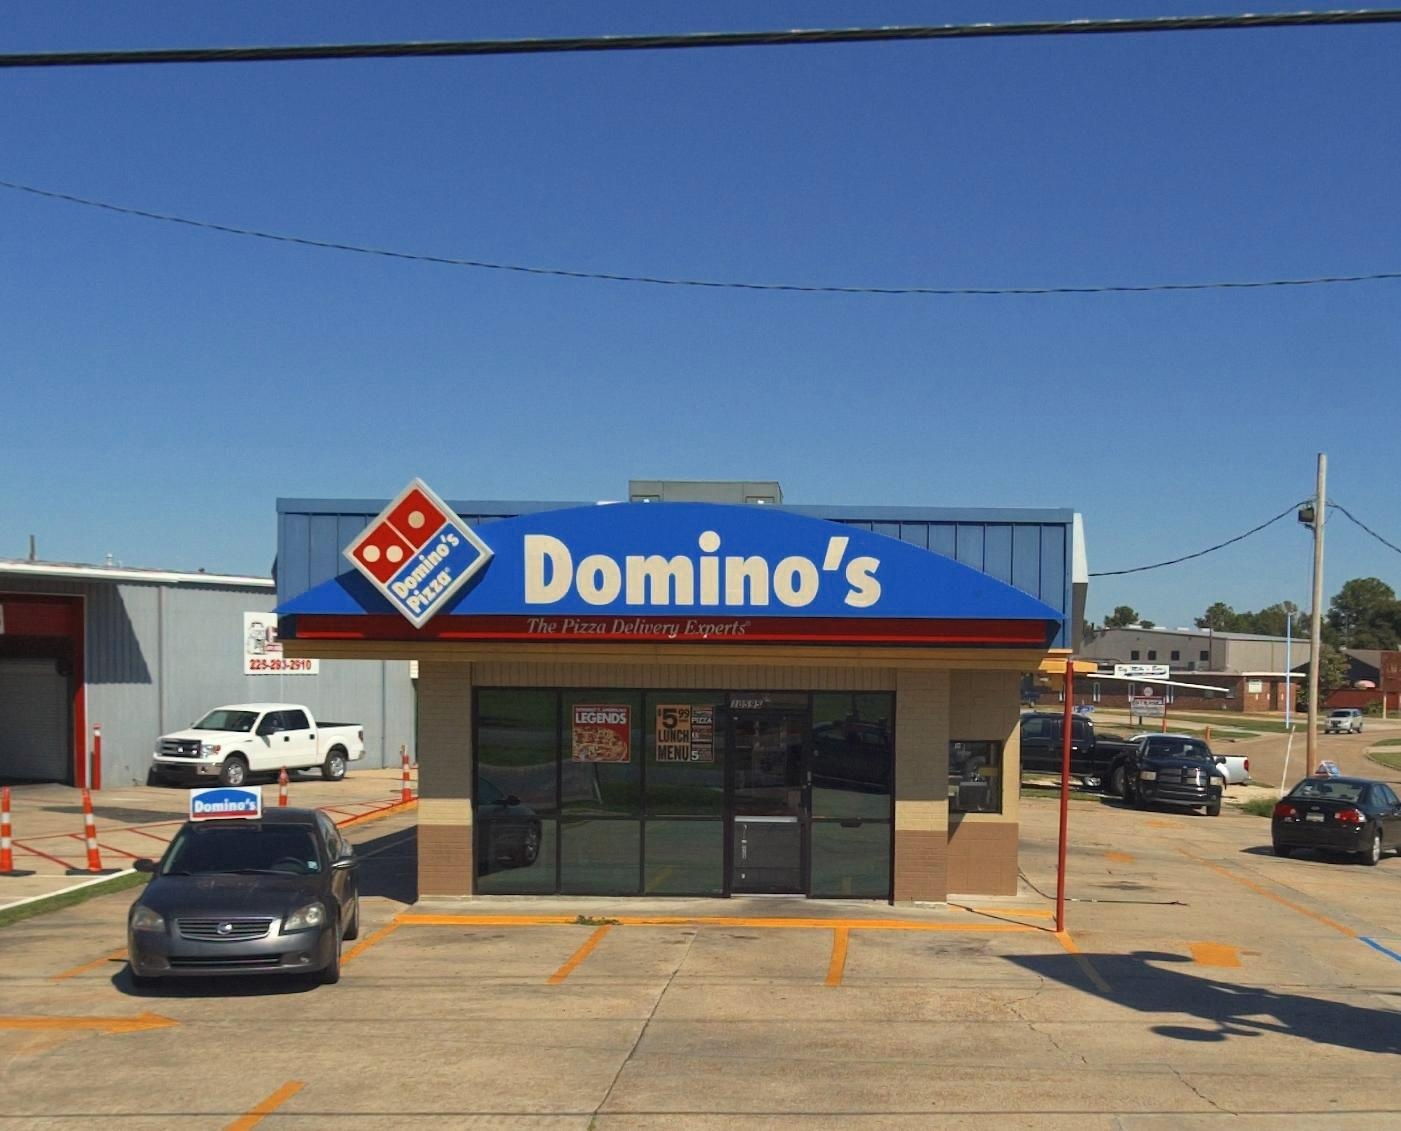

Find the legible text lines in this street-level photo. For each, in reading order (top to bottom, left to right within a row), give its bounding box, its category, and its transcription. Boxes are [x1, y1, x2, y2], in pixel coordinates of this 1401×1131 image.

[386, 529, 462, 603] BusinessName: Domino'S
[521, 526, 885, 611] BusinessName: Domino's 
[403, 566, 455, 616] BusinessName: Pizza
[523, 614, 750, 643] None: The Pizza Delivery Experts
[248, 657, 315, 673] None: 225-293-2910
[574, 710, 630, 727] None: LEGENDS
[660, 705, 680, 731] None: 5
[676, 705, 692, 721] None: 99
[729, 696, 765, 710] StreetNumber: 10595
[656, 726, 691, 745] None: LUNCH
[656, 743, 690, 763] None: MENU
[690, 749, 701, 763] None: 5
[192, 796, 258, 816] BusinessName: Domino'S